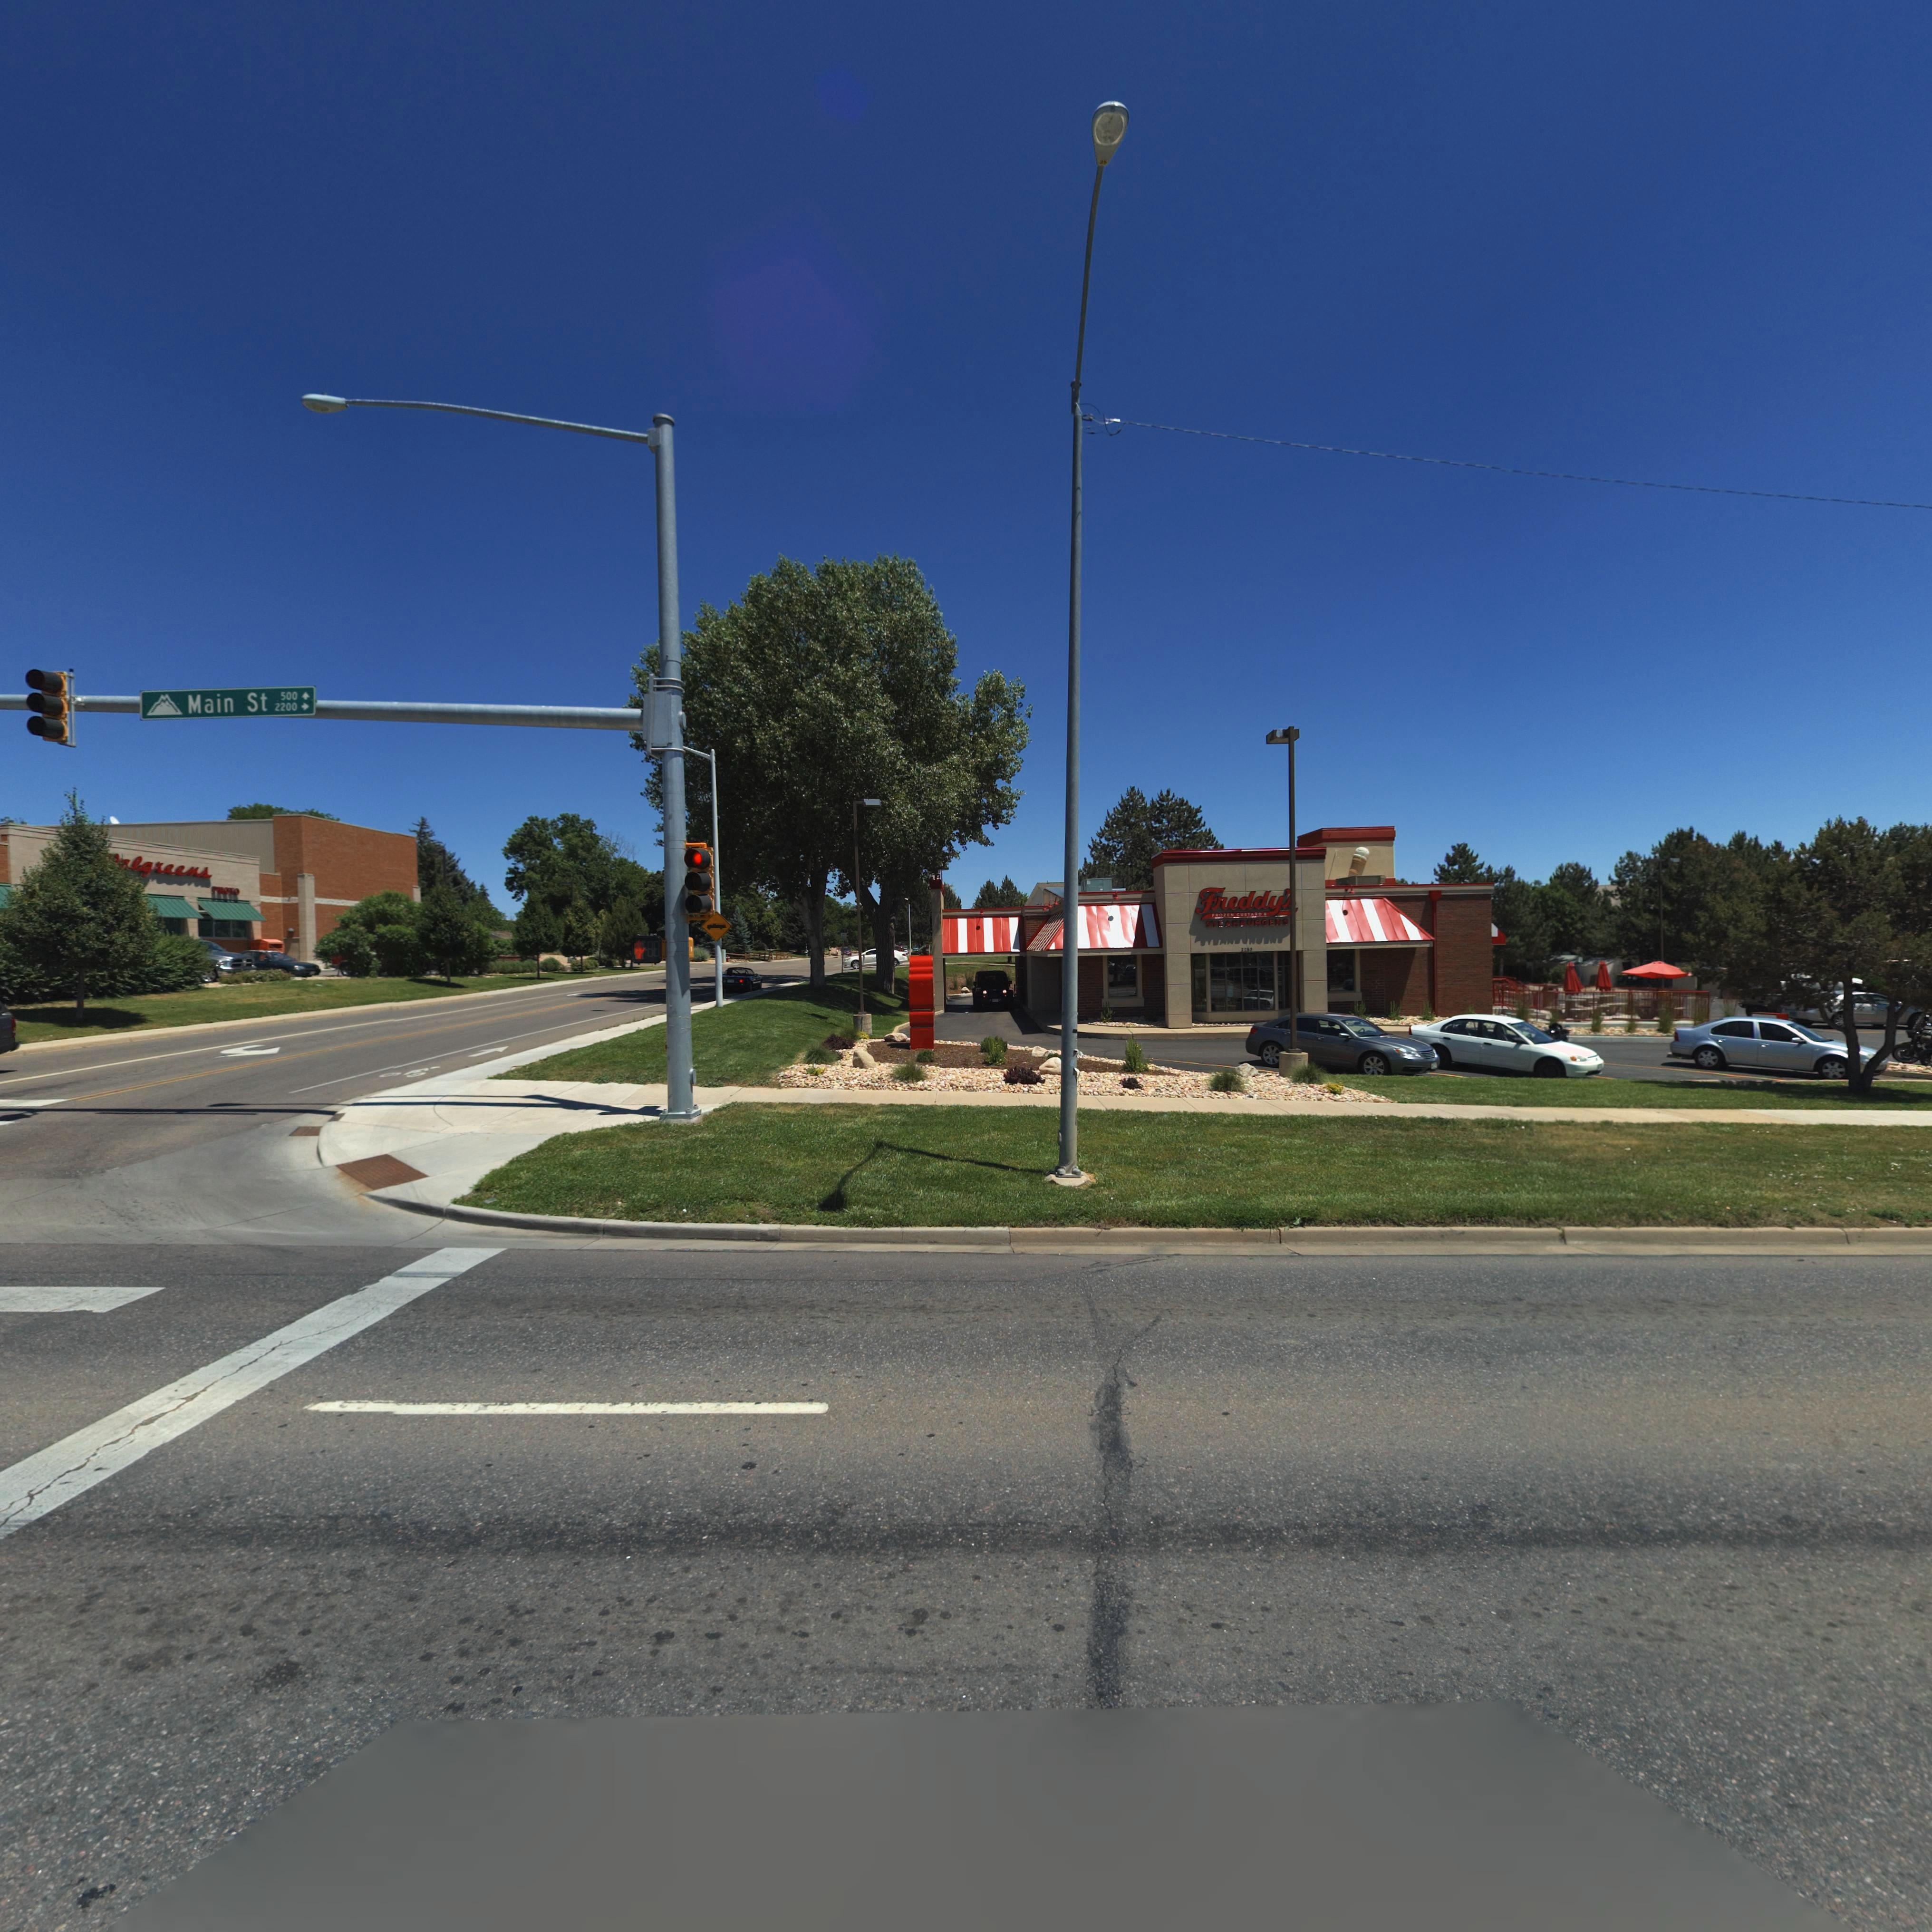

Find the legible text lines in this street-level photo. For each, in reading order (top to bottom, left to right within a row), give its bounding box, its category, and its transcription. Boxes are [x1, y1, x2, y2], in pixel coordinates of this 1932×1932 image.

[280, 691, 298, 701] StreetNumberRange: 500
[187, 691, 268, 714] StreetName: Main St
[273, 702, 310, 711] StreetNumberRange: 2200->
[1195, 886, 1298, 917] BusinessName: Freddy's
[1240, 947, 1253, 952] StreetNumber: **85